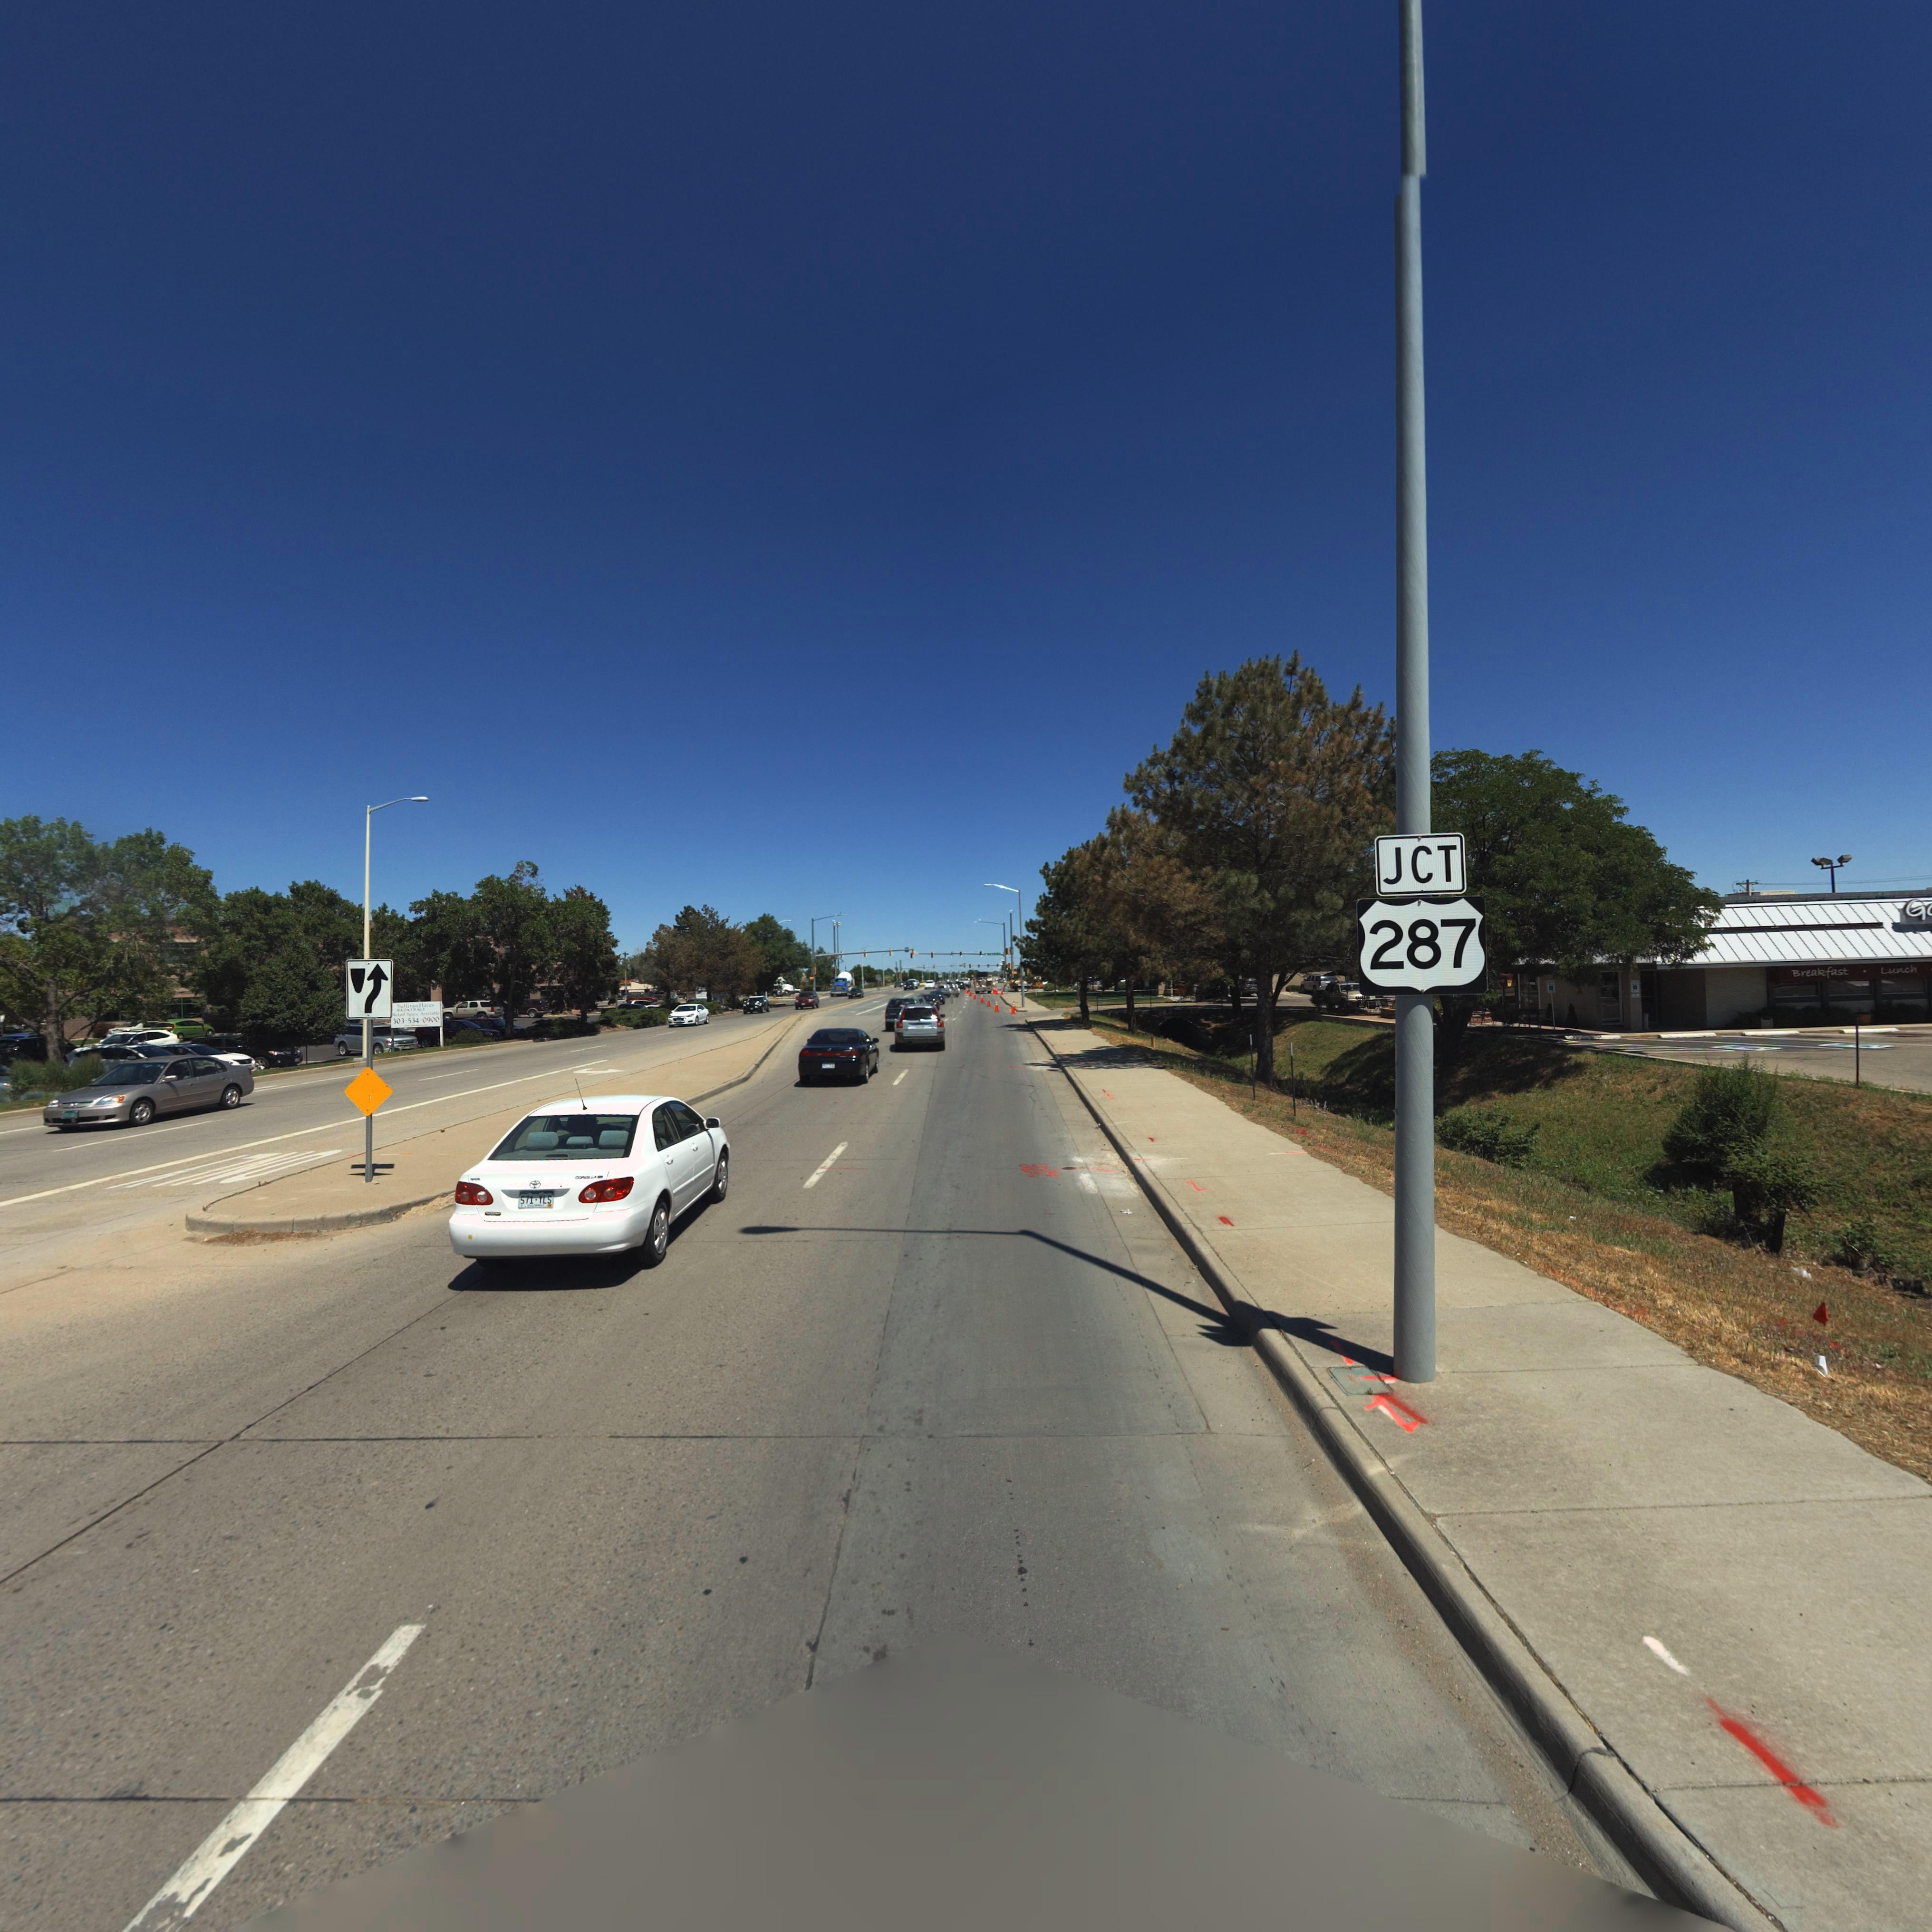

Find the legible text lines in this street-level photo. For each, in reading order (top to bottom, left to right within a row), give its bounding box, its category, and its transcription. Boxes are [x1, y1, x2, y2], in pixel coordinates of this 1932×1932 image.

[1903, 898, 1926, 921] BusinessName: G